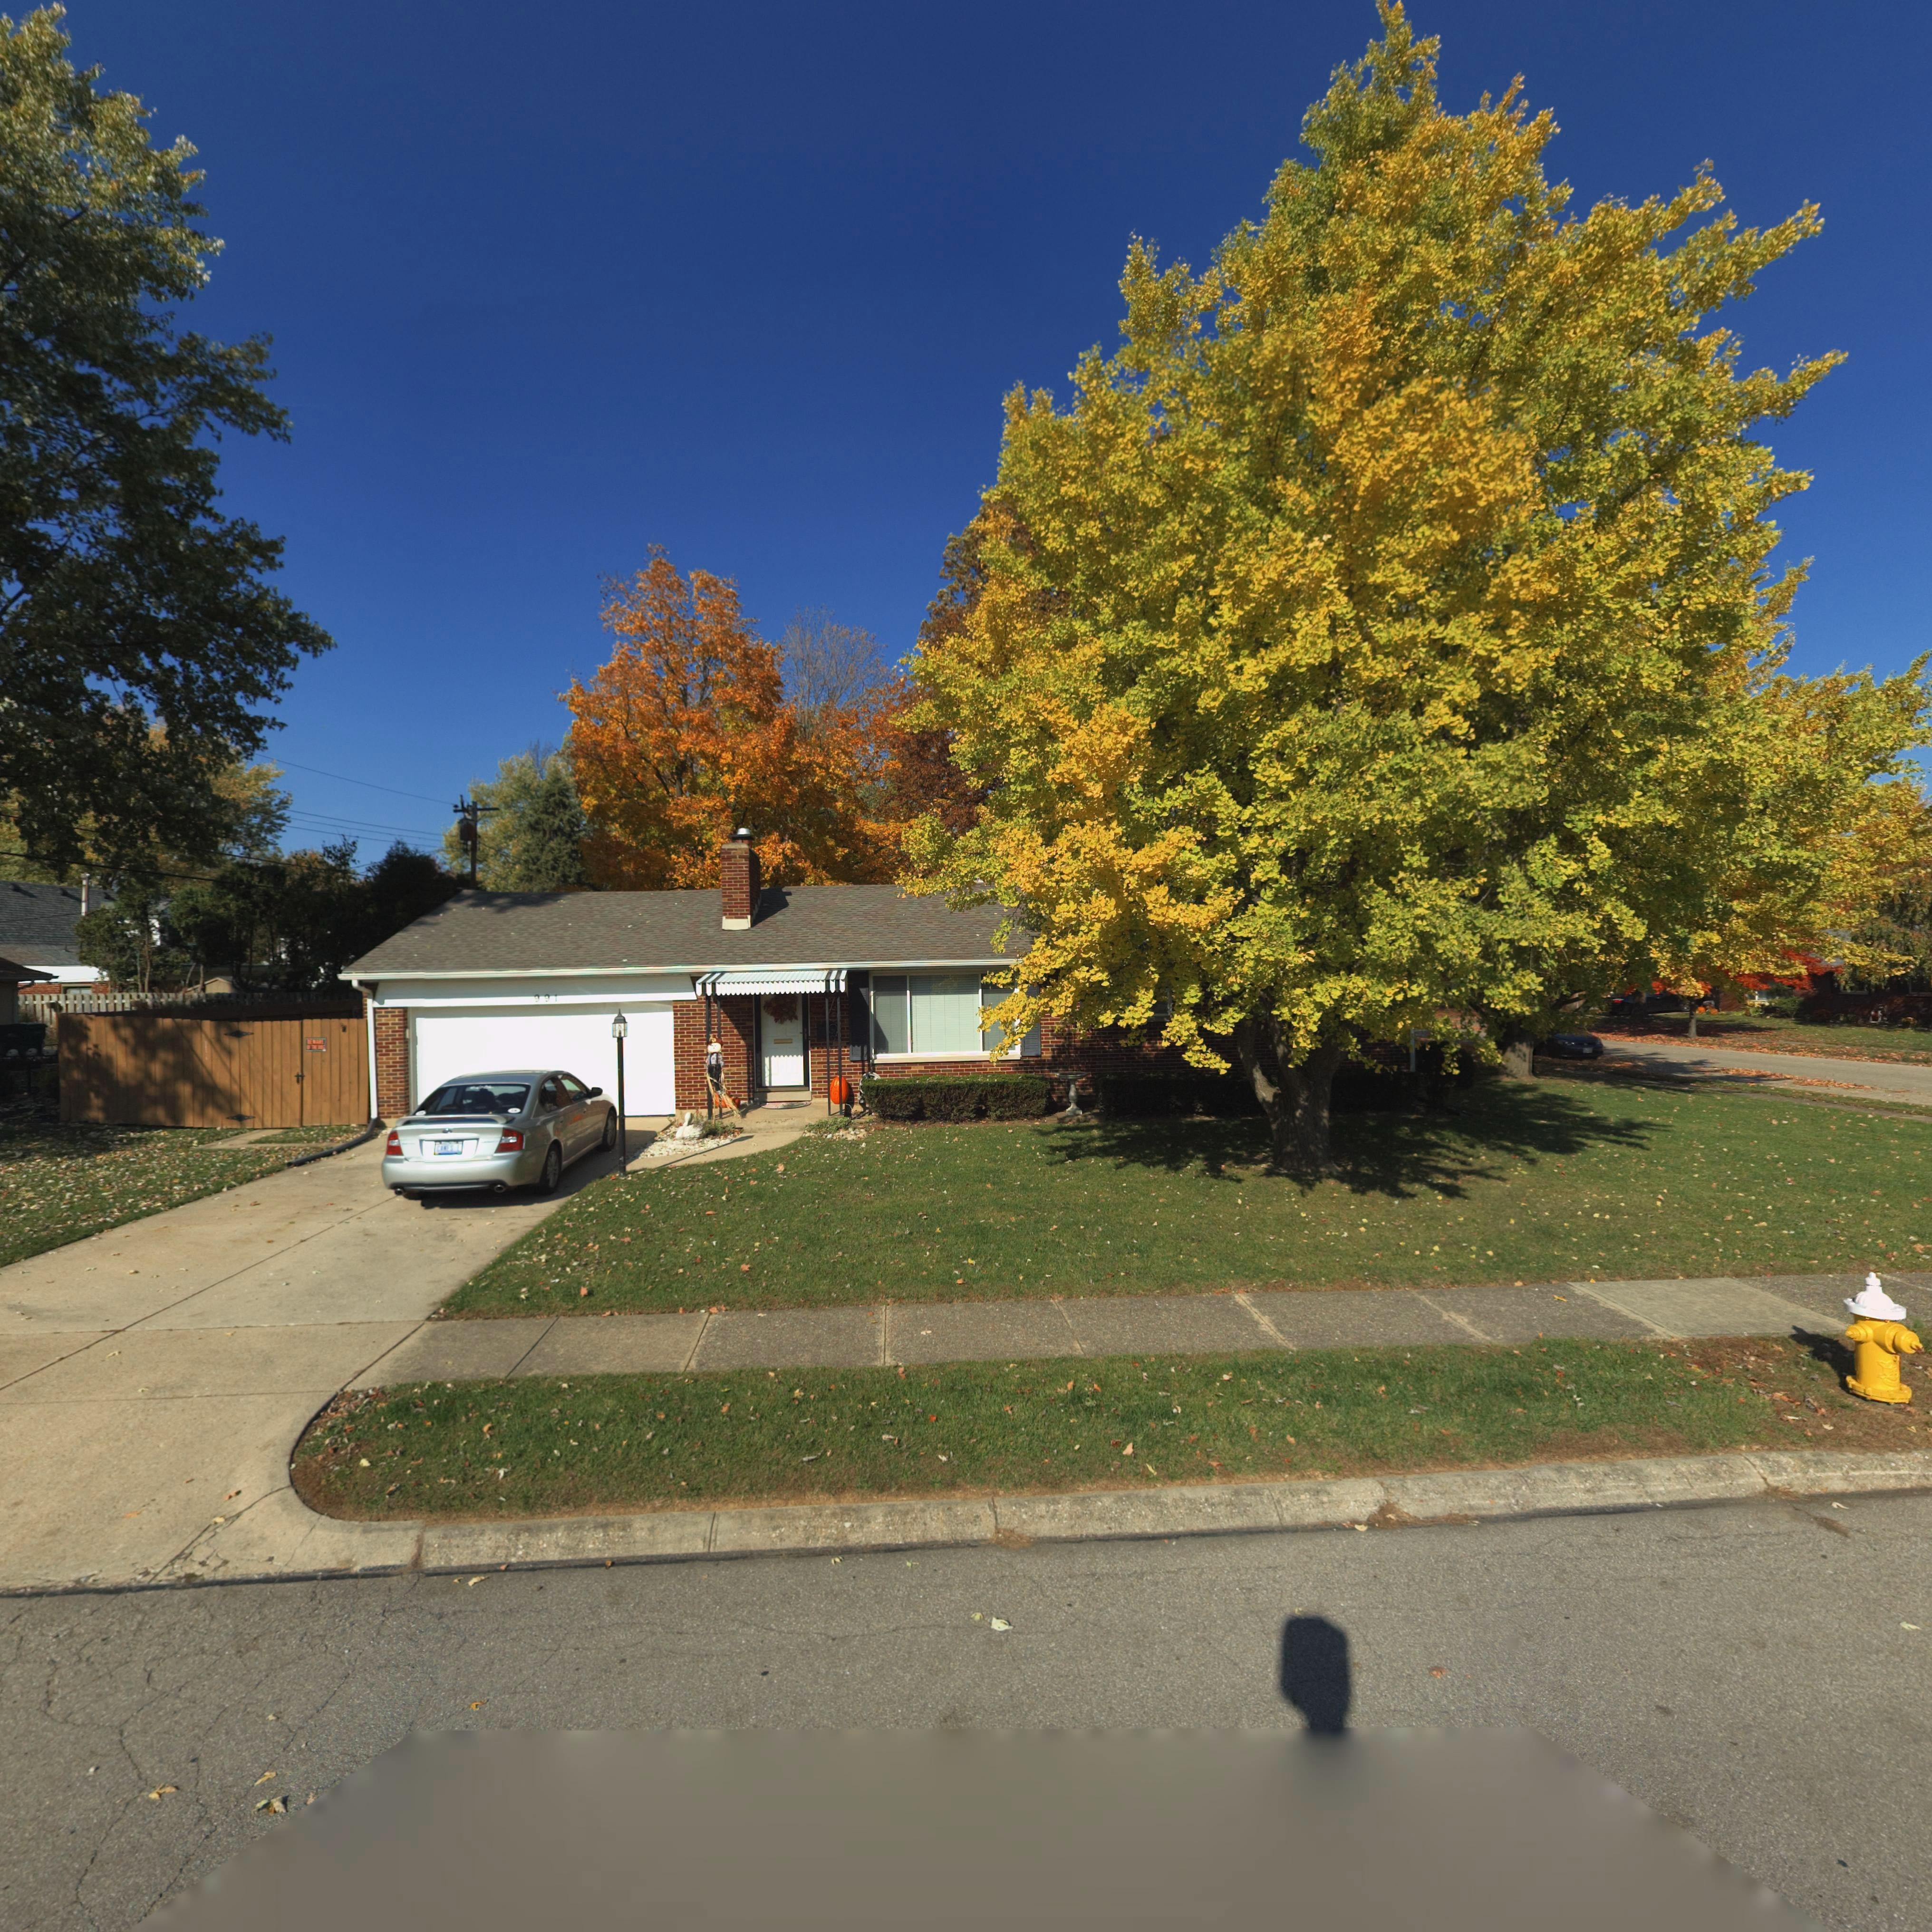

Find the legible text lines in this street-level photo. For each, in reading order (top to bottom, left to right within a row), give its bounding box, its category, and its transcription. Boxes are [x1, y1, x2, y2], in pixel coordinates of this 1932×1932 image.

[534, 993, 558, 1003] StreetNumber: 991